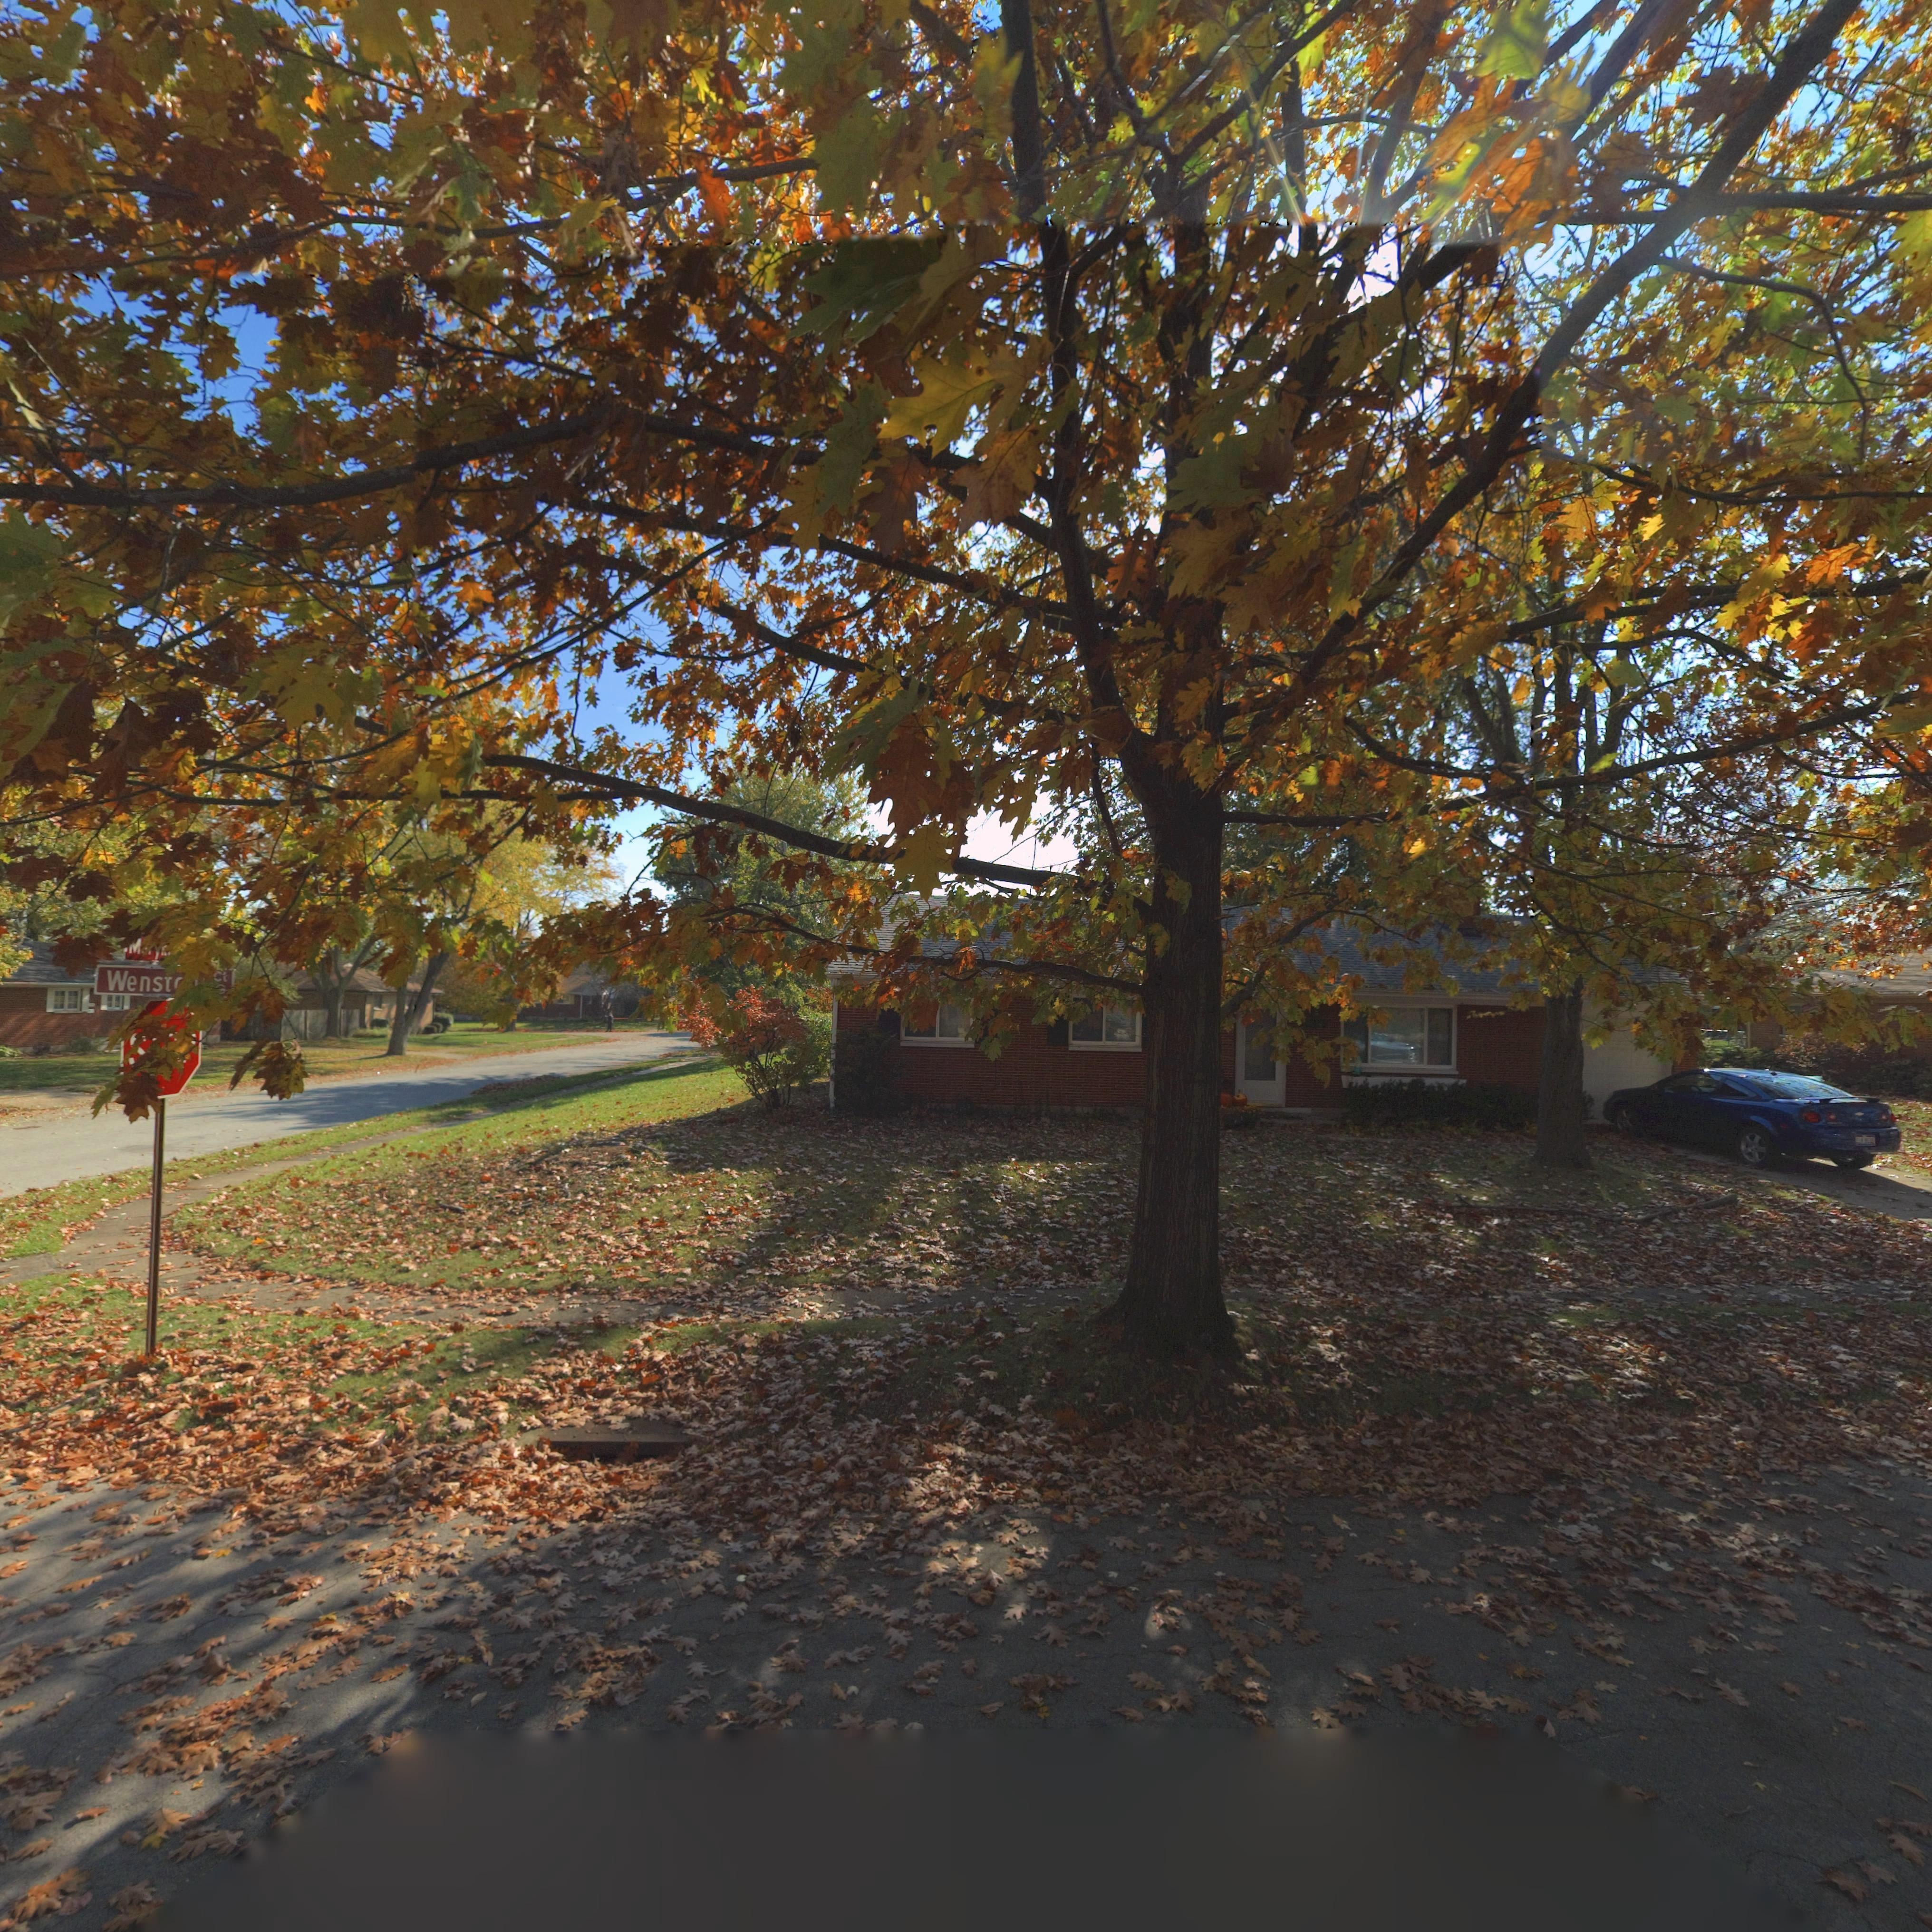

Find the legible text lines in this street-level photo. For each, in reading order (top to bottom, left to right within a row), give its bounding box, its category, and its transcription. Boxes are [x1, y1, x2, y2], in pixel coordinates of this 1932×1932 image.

[106, 967, 173, 994] StreetName: Wenst